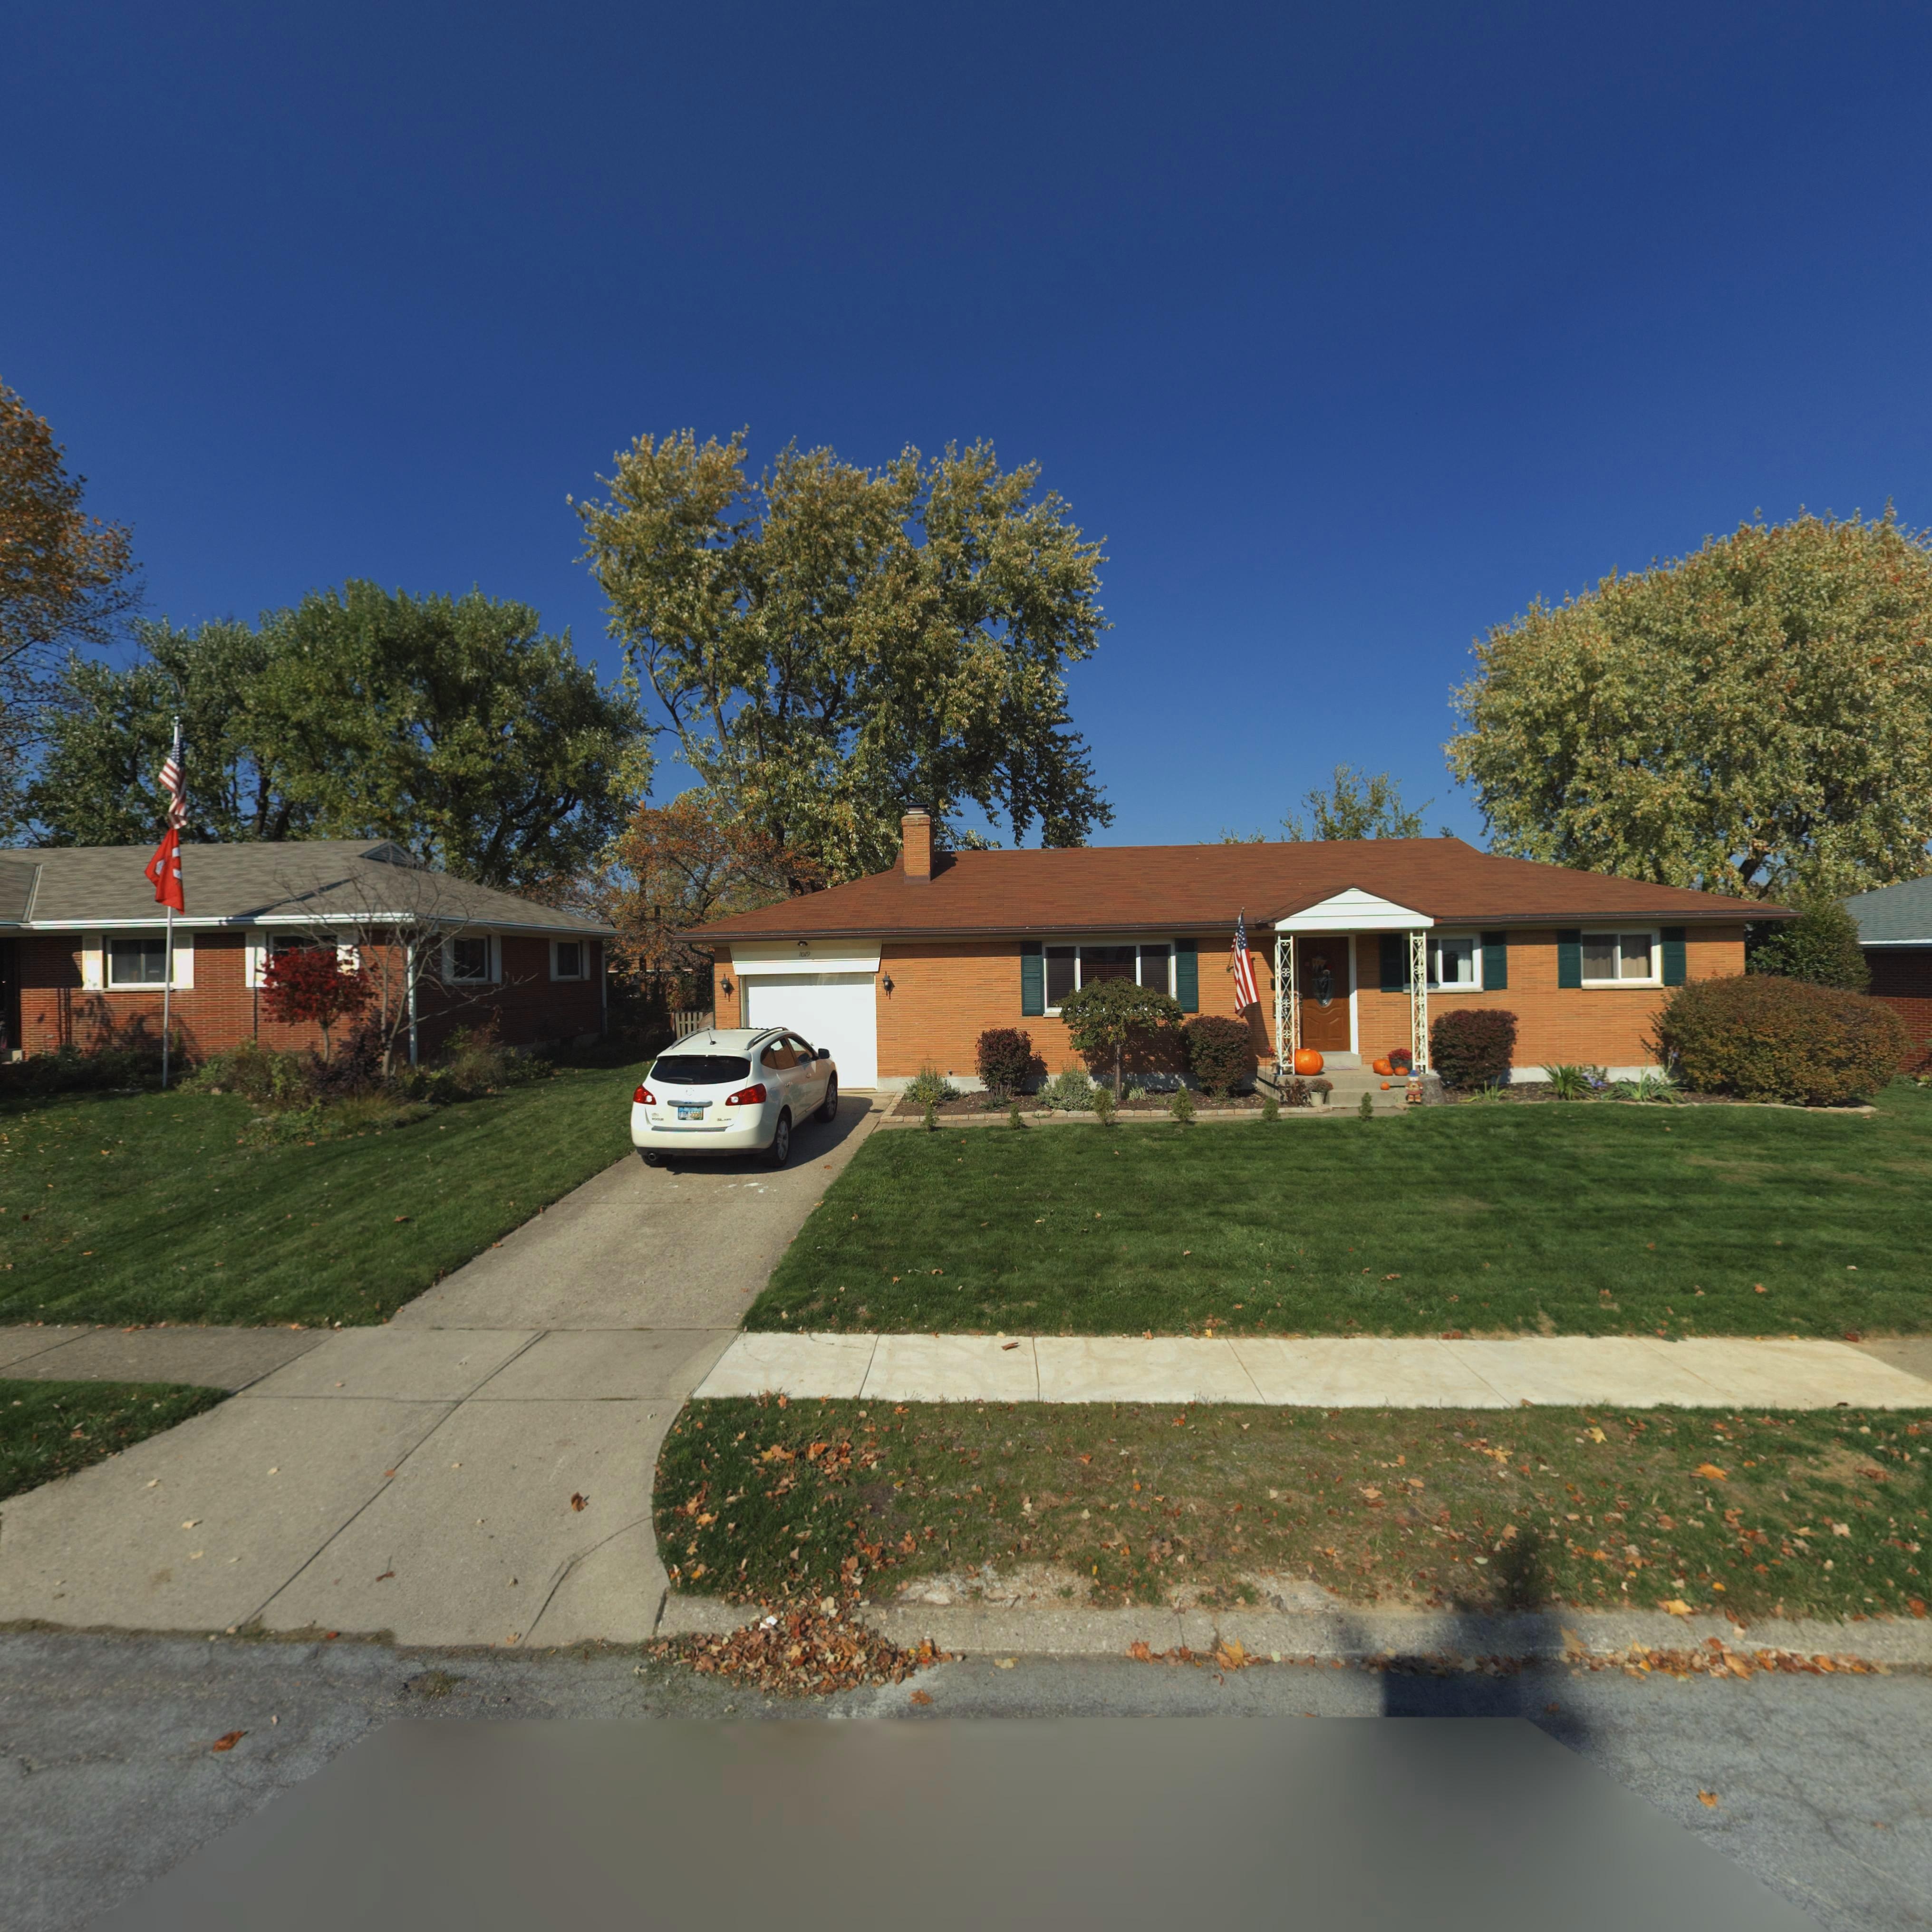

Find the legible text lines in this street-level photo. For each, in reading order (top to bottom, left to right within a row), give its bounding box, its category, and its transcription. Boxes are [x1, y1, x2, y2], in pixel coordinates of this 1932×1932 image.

[797, 951, 811, 957] StreetNumber: 1019